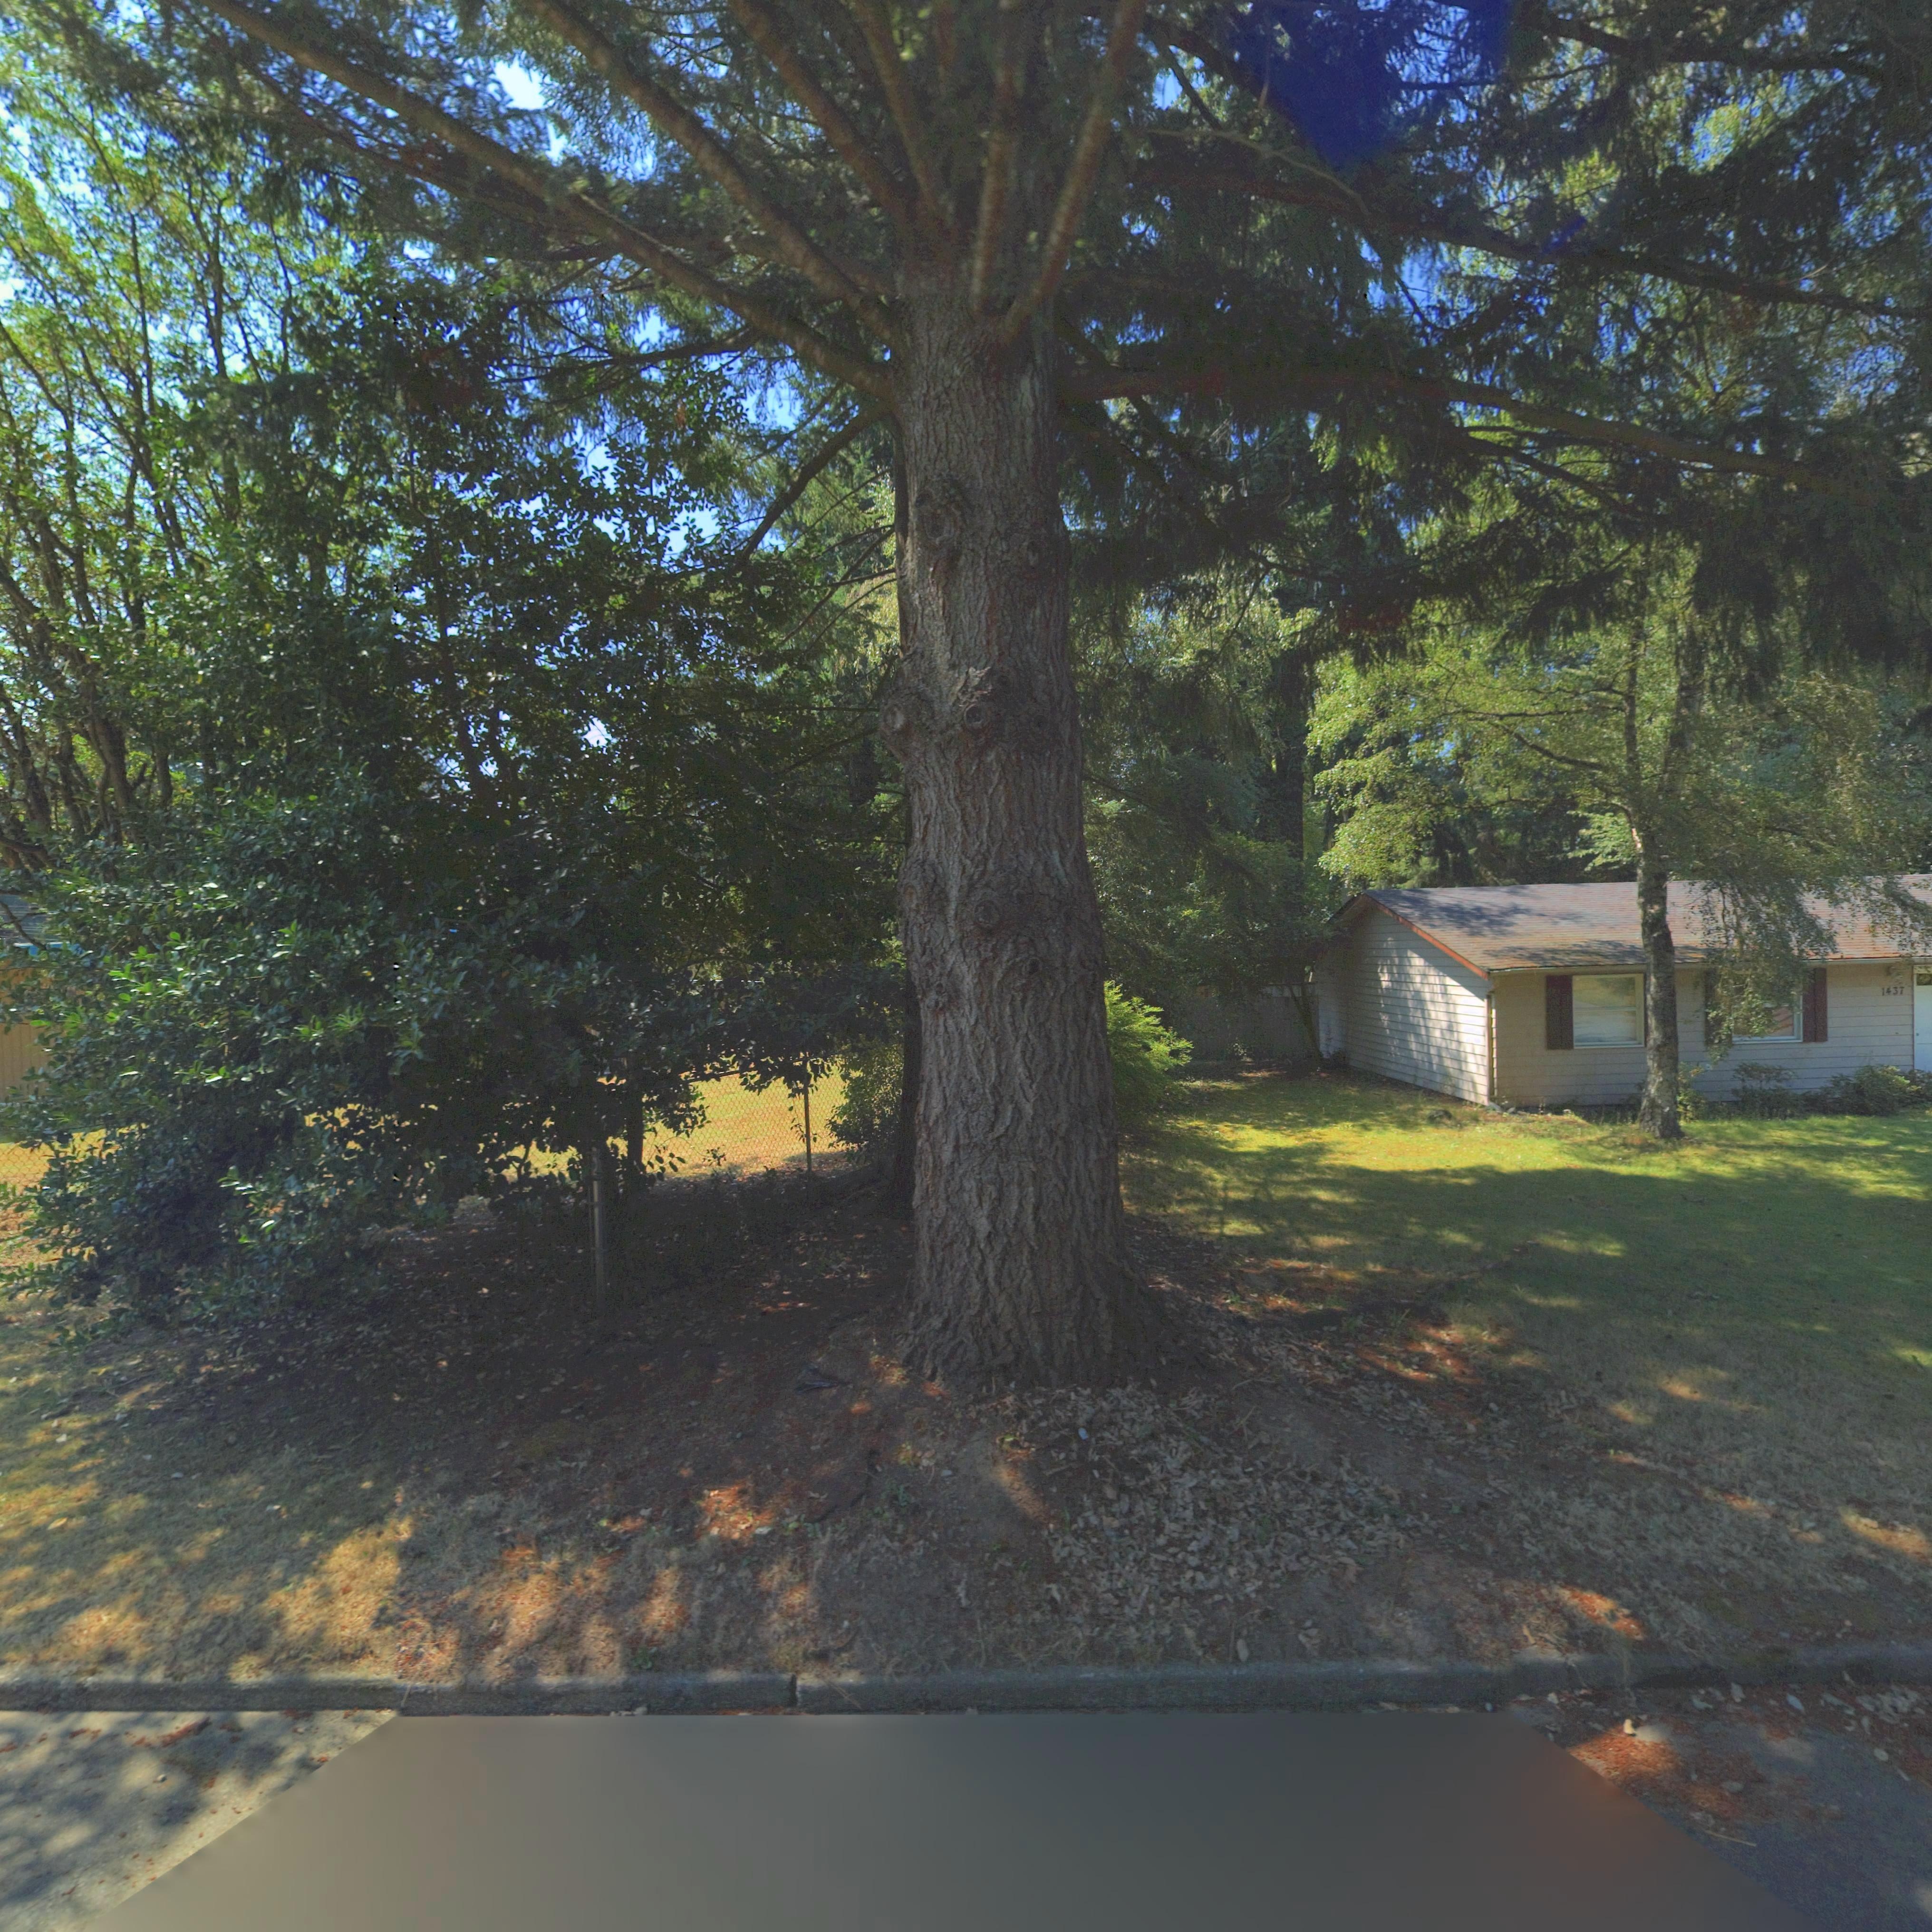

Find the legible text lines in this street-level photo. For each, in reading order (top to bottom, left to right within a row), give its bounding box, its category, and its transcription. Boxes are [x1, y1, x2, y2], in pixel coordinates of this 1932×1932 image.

[1881, 985, 1905, 995] StreetNumber: 1437